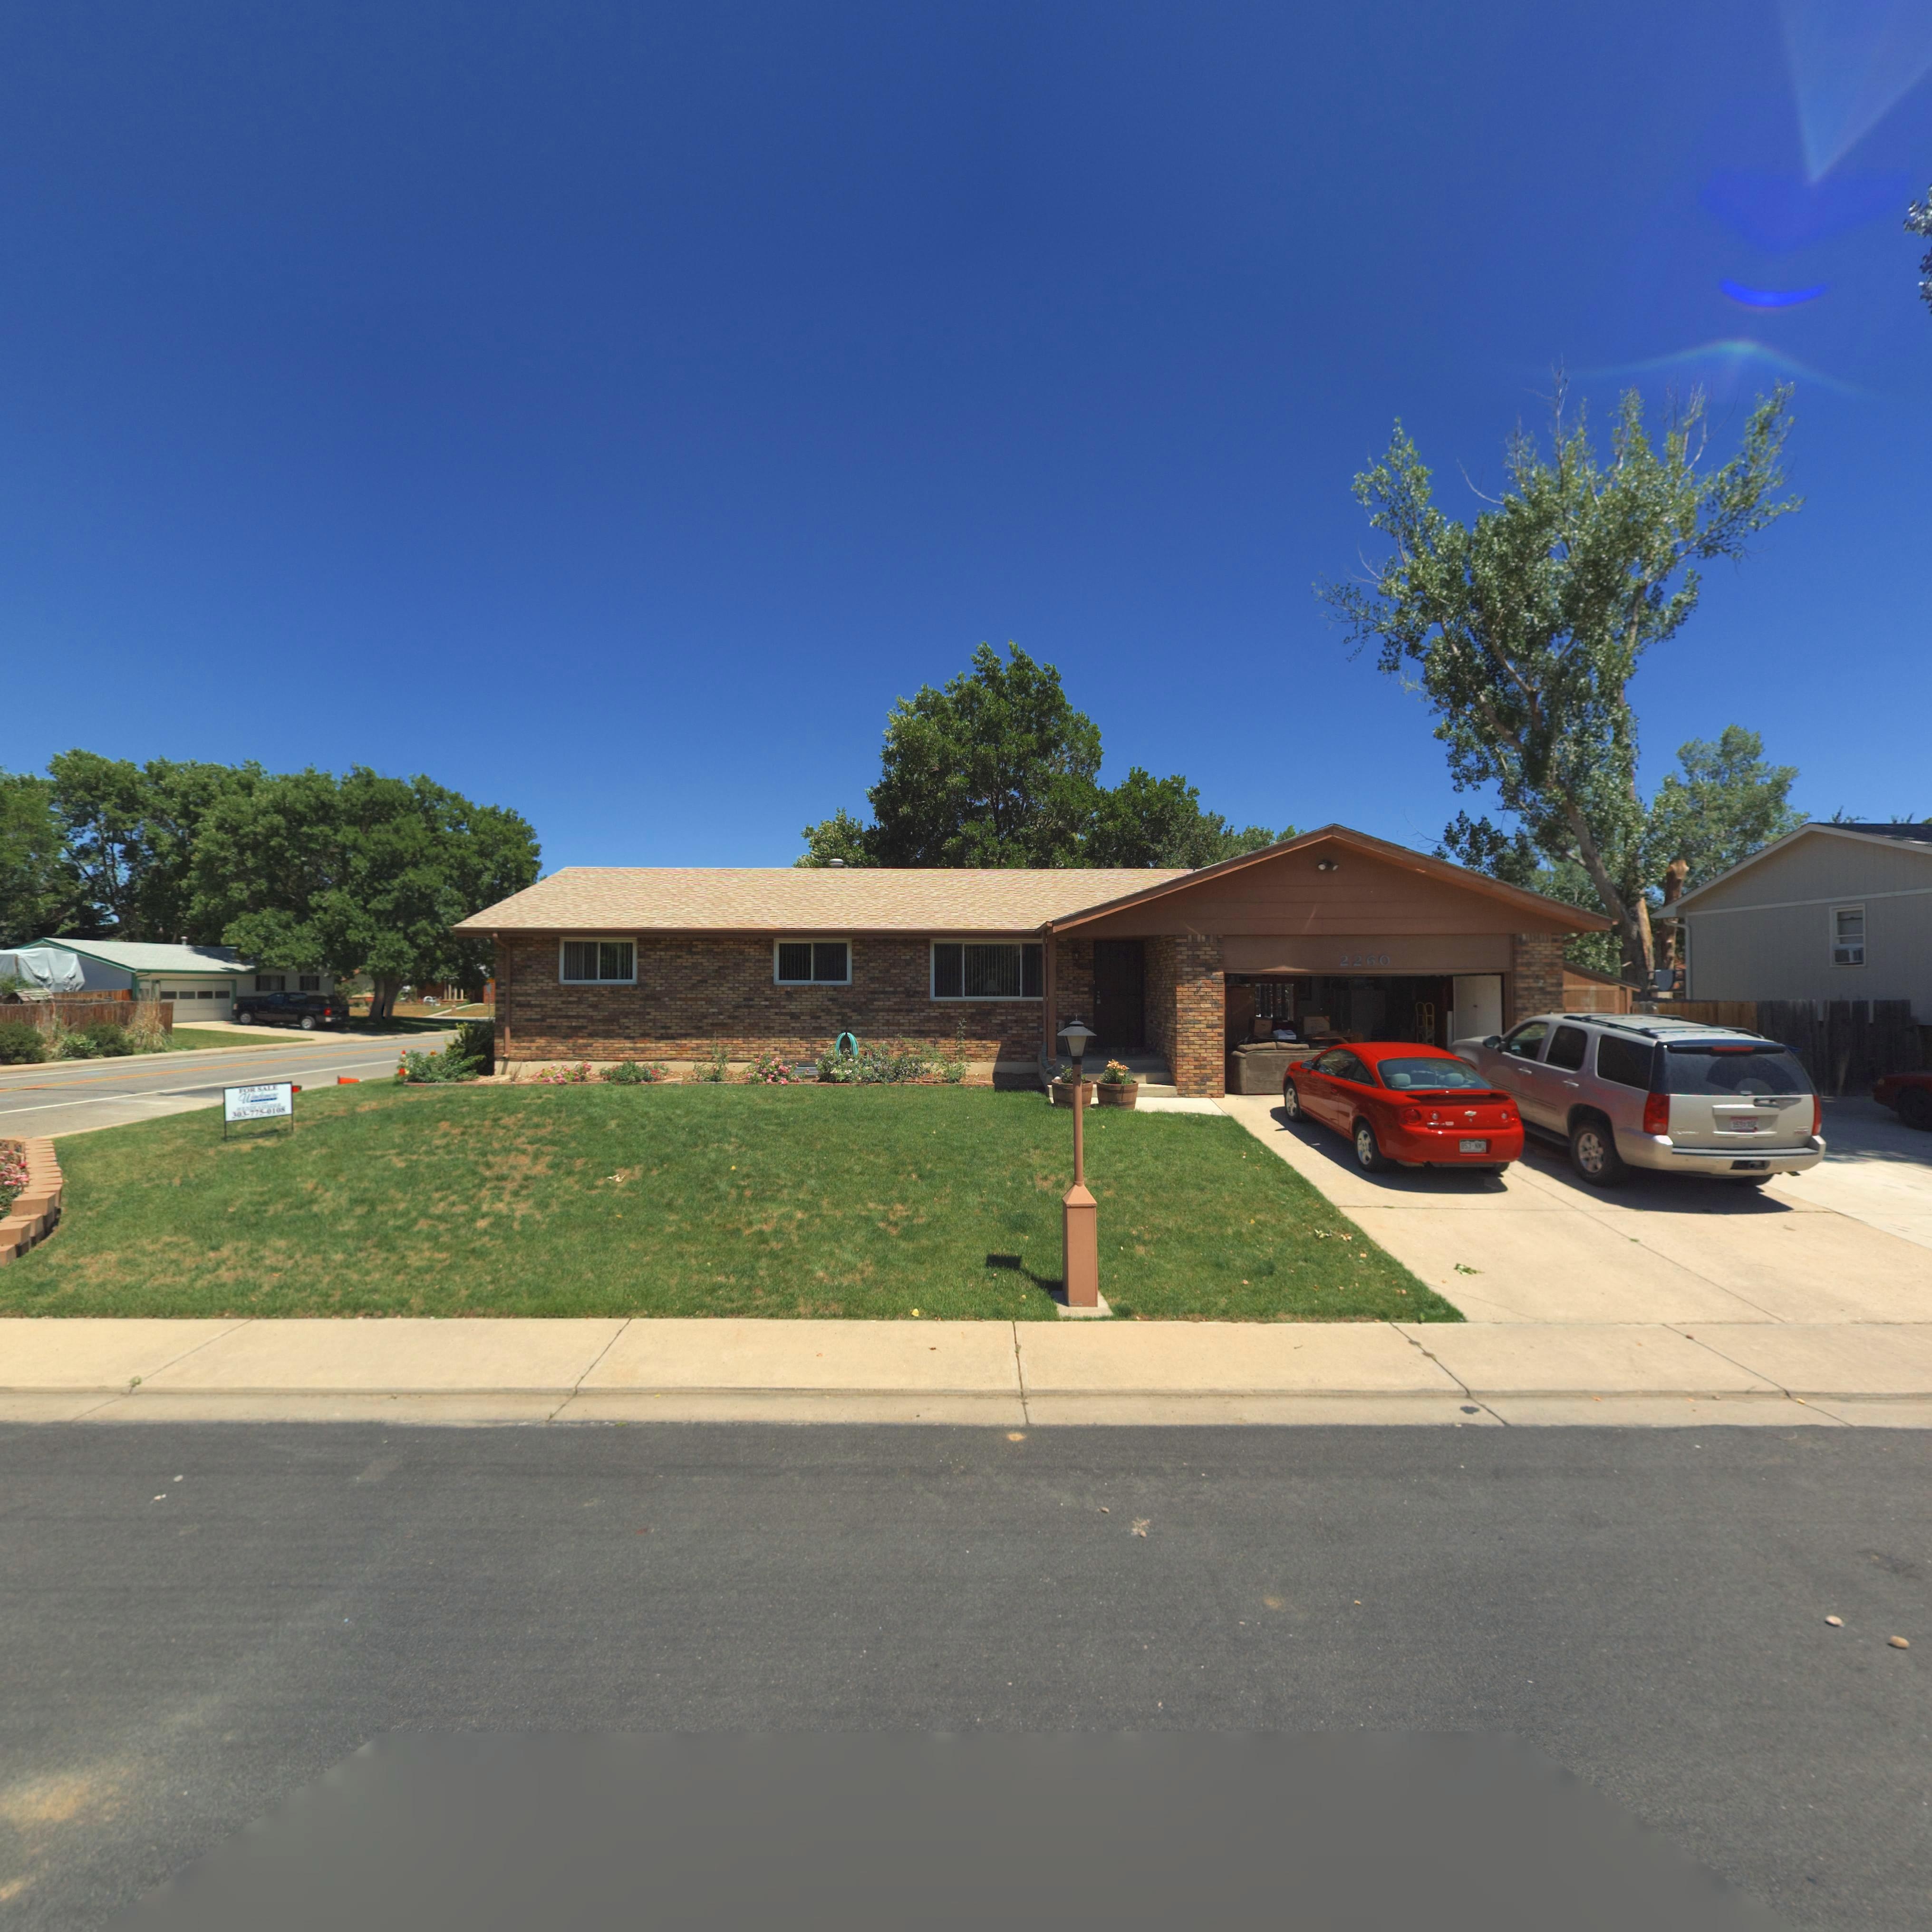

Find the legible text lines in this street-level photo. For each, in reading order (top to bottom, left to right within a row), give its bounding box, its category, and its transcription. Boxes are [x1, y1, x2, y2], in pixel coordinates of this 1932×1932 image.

[1339, 955, 1391, 966] StreetNumber: 2260